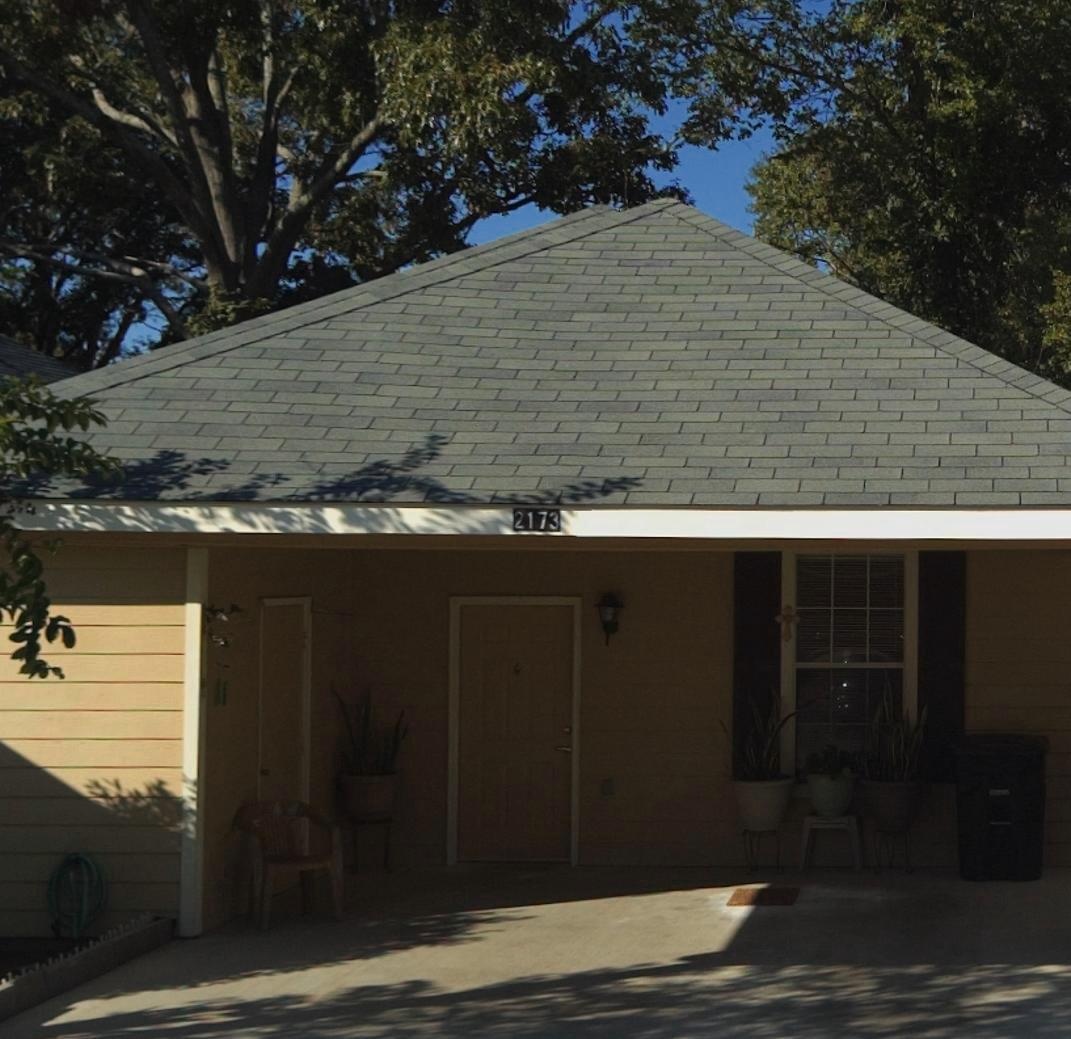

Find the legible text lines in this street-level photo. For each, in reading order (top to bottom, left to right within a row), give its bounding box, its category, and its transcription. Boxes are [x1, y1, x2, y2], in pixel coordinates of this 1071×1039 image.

[514, 510, 560, 531] StreetNumber: 2173